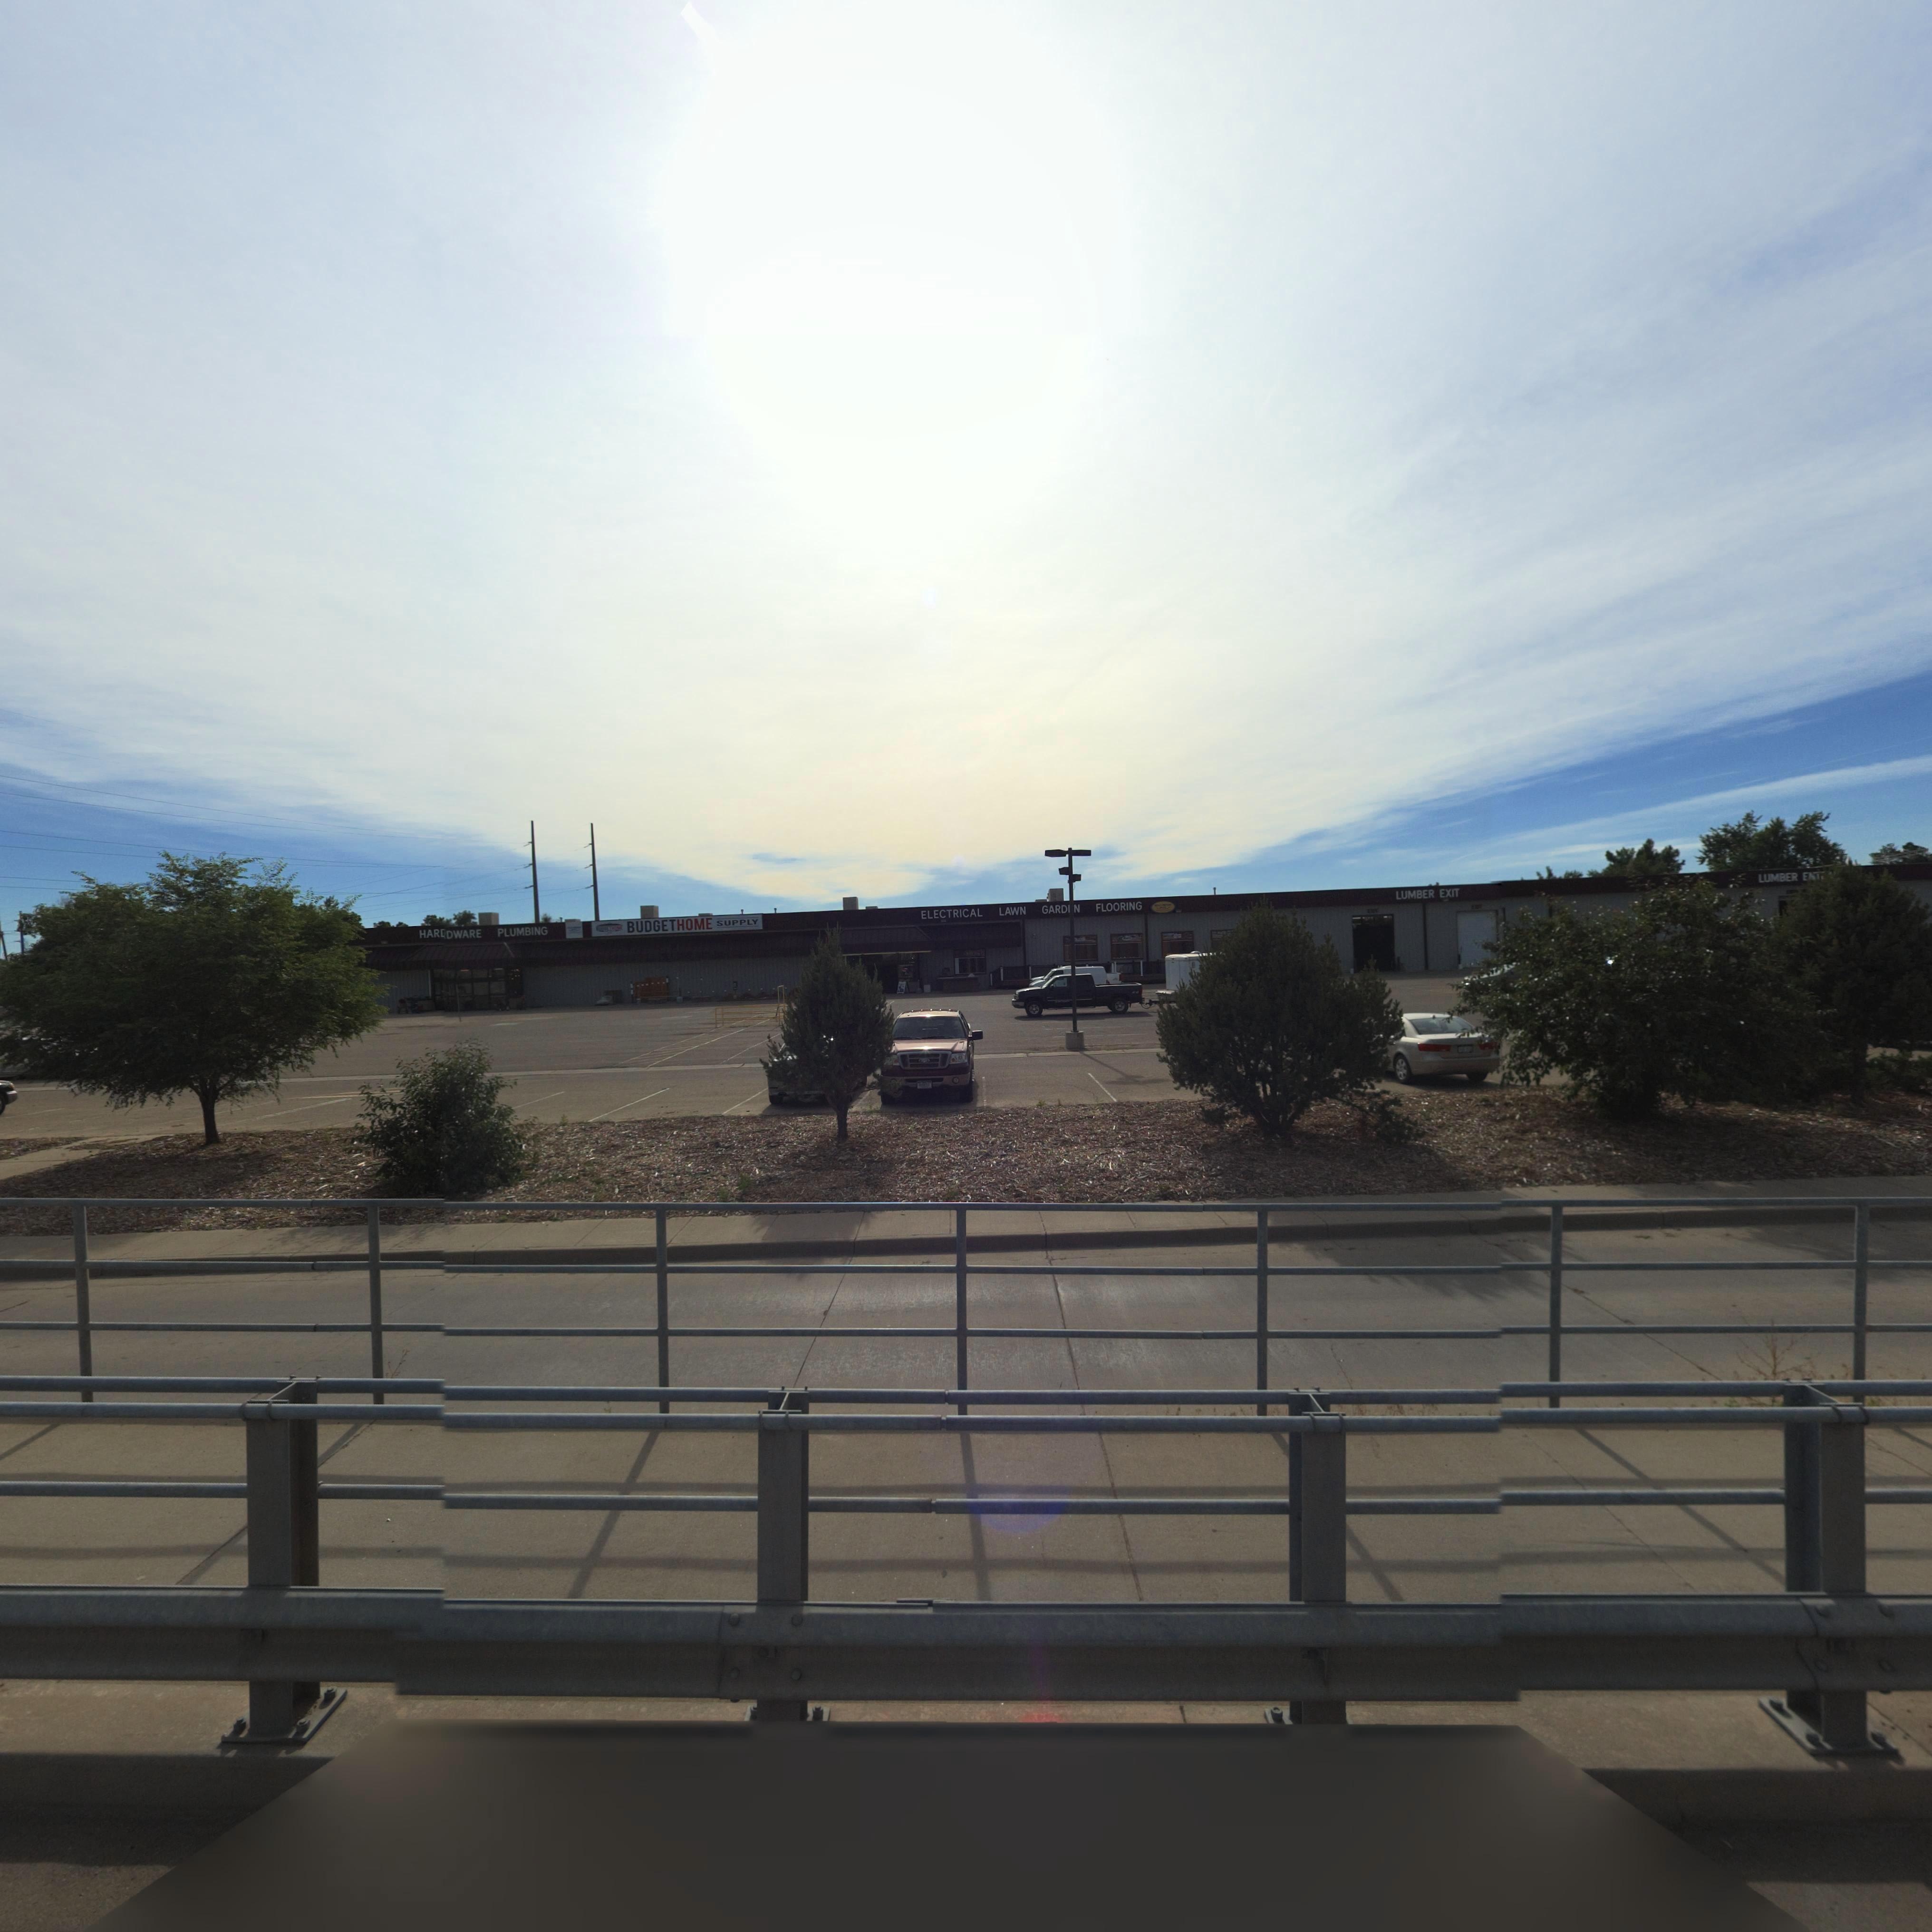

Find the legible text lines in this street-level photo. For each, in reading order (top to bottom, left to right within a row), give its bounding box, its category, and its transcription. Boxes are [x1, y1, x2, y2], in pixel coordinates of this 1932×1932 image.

[626, 917, 714, 934] BusinessName: BUDGETHOME
[715, 918, 760, 926] BusinessName: SUPPLY